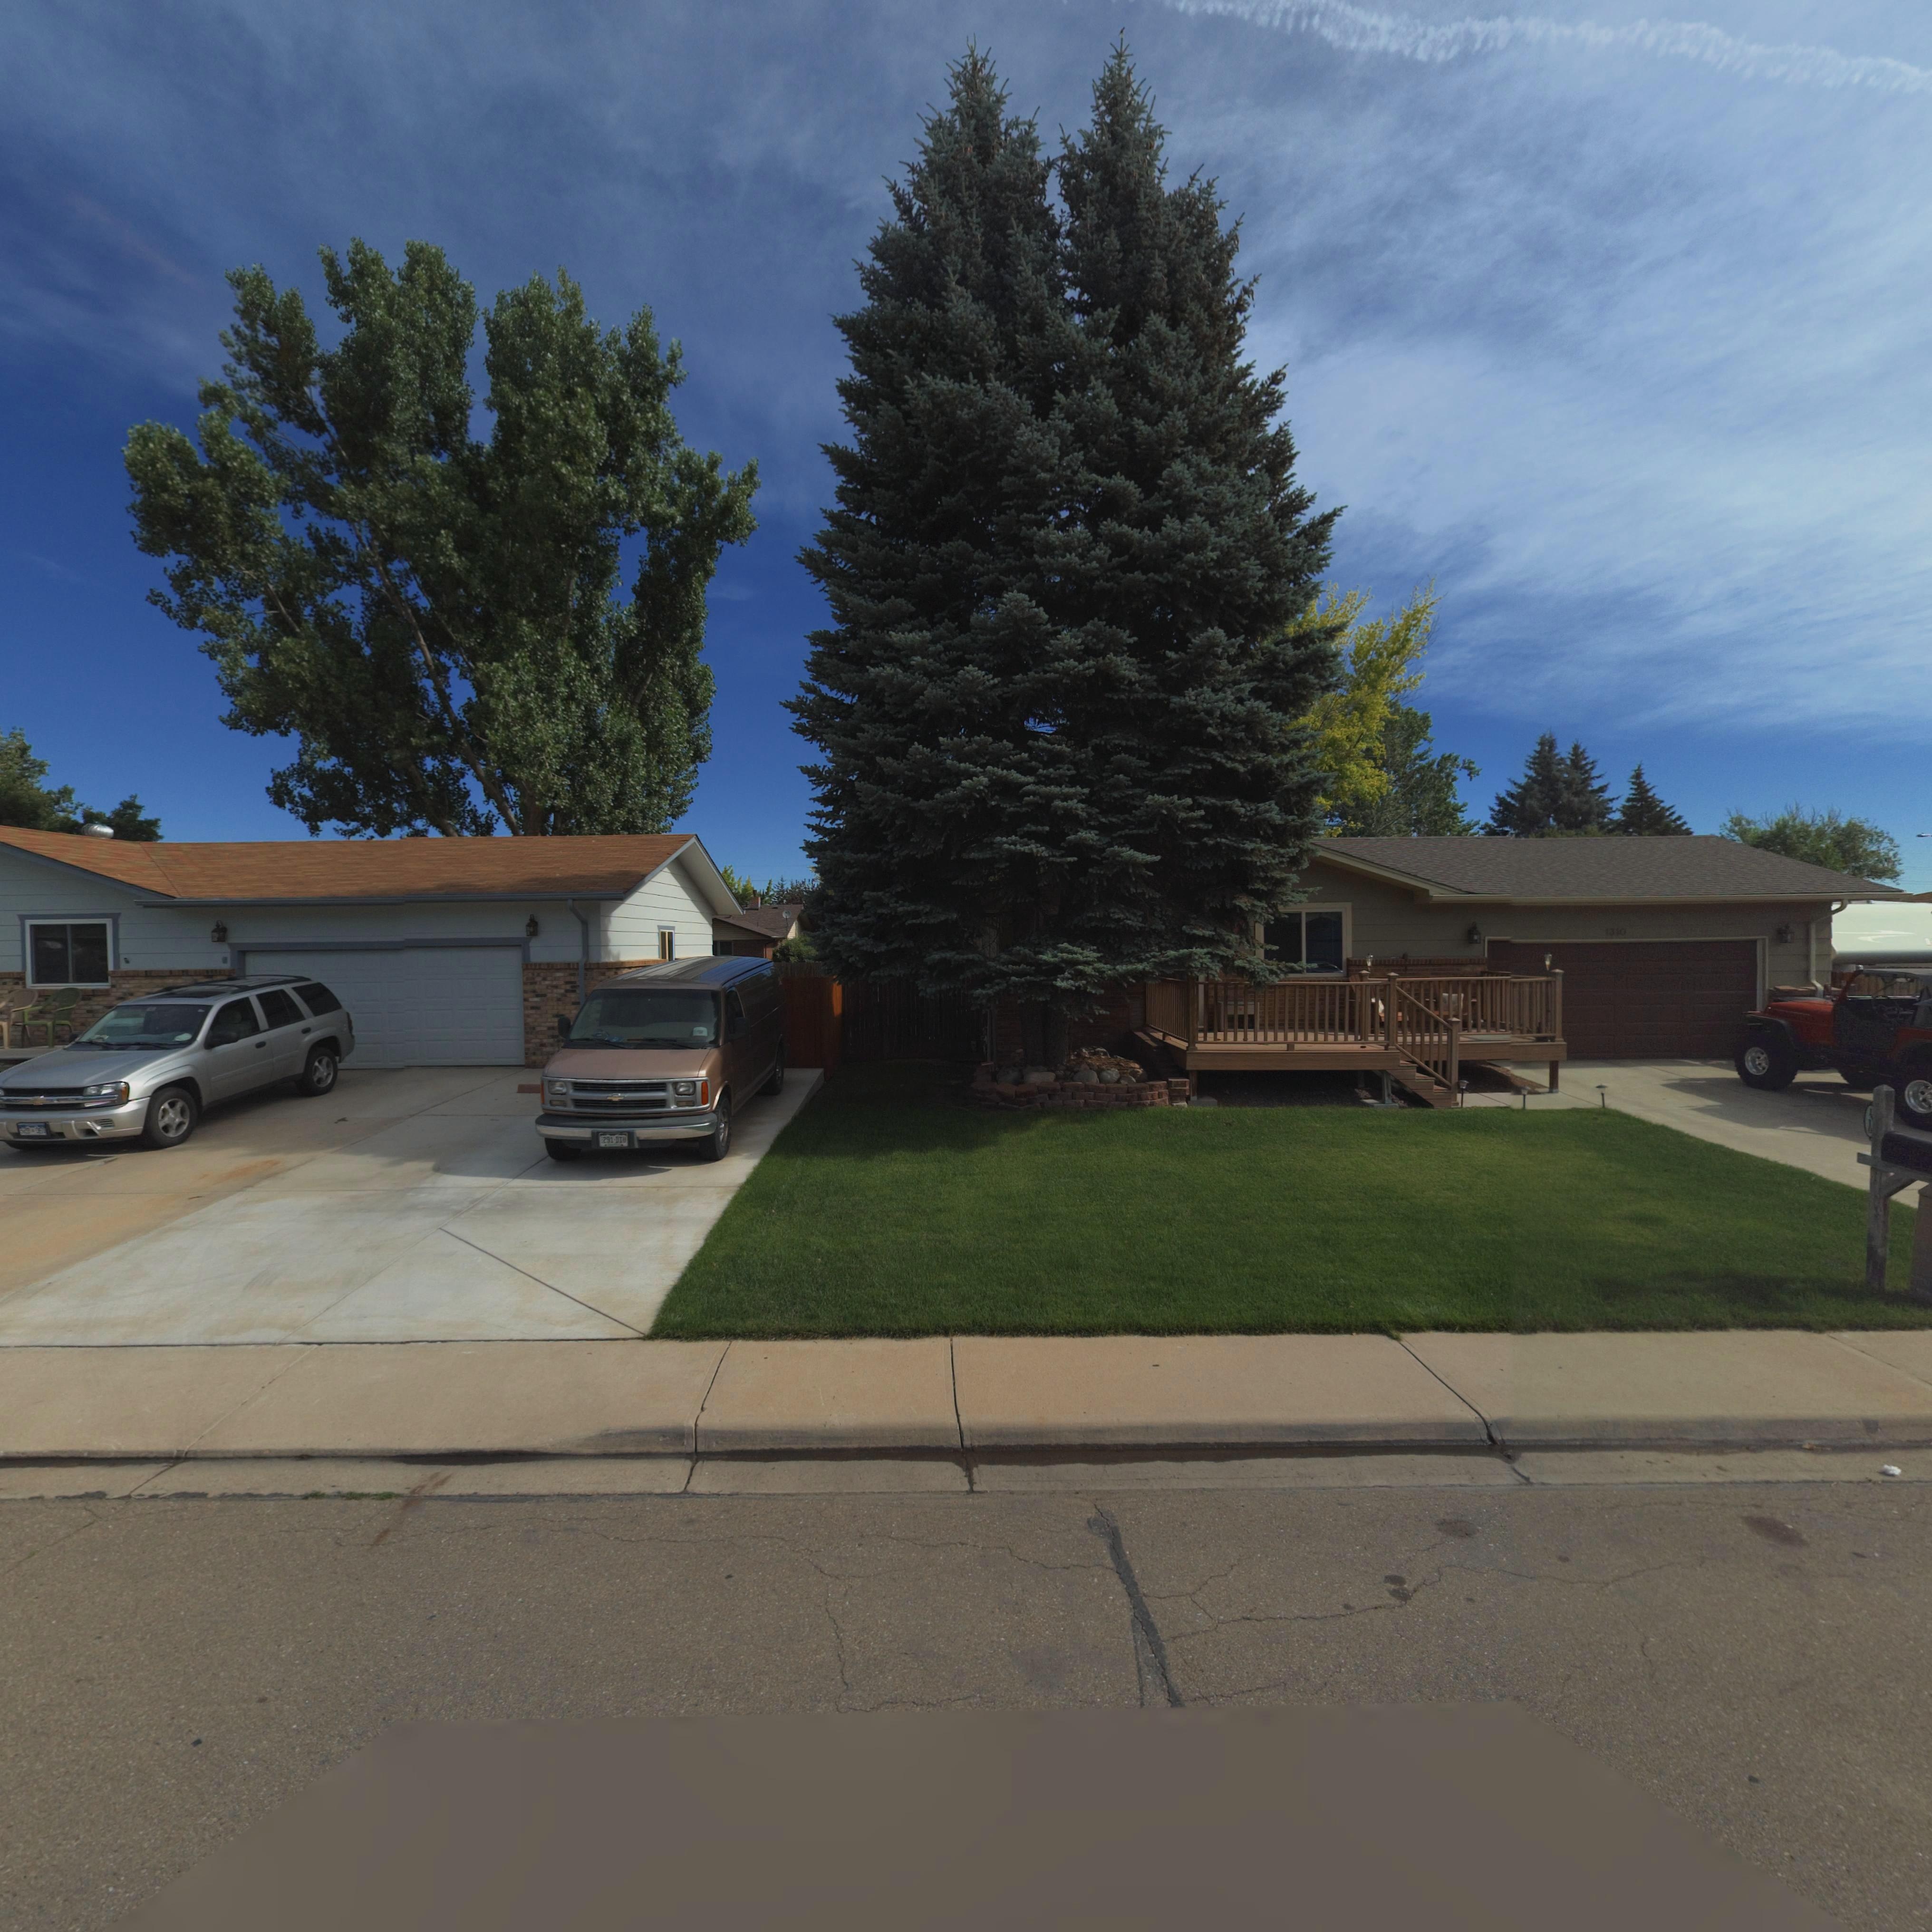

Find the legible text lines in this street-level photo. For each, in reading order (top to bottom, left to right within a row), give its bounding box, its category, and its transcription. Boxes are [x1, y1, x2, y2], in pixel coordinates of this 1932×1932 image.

[1604, 927, 1628, 937] StreetNumber: 1310